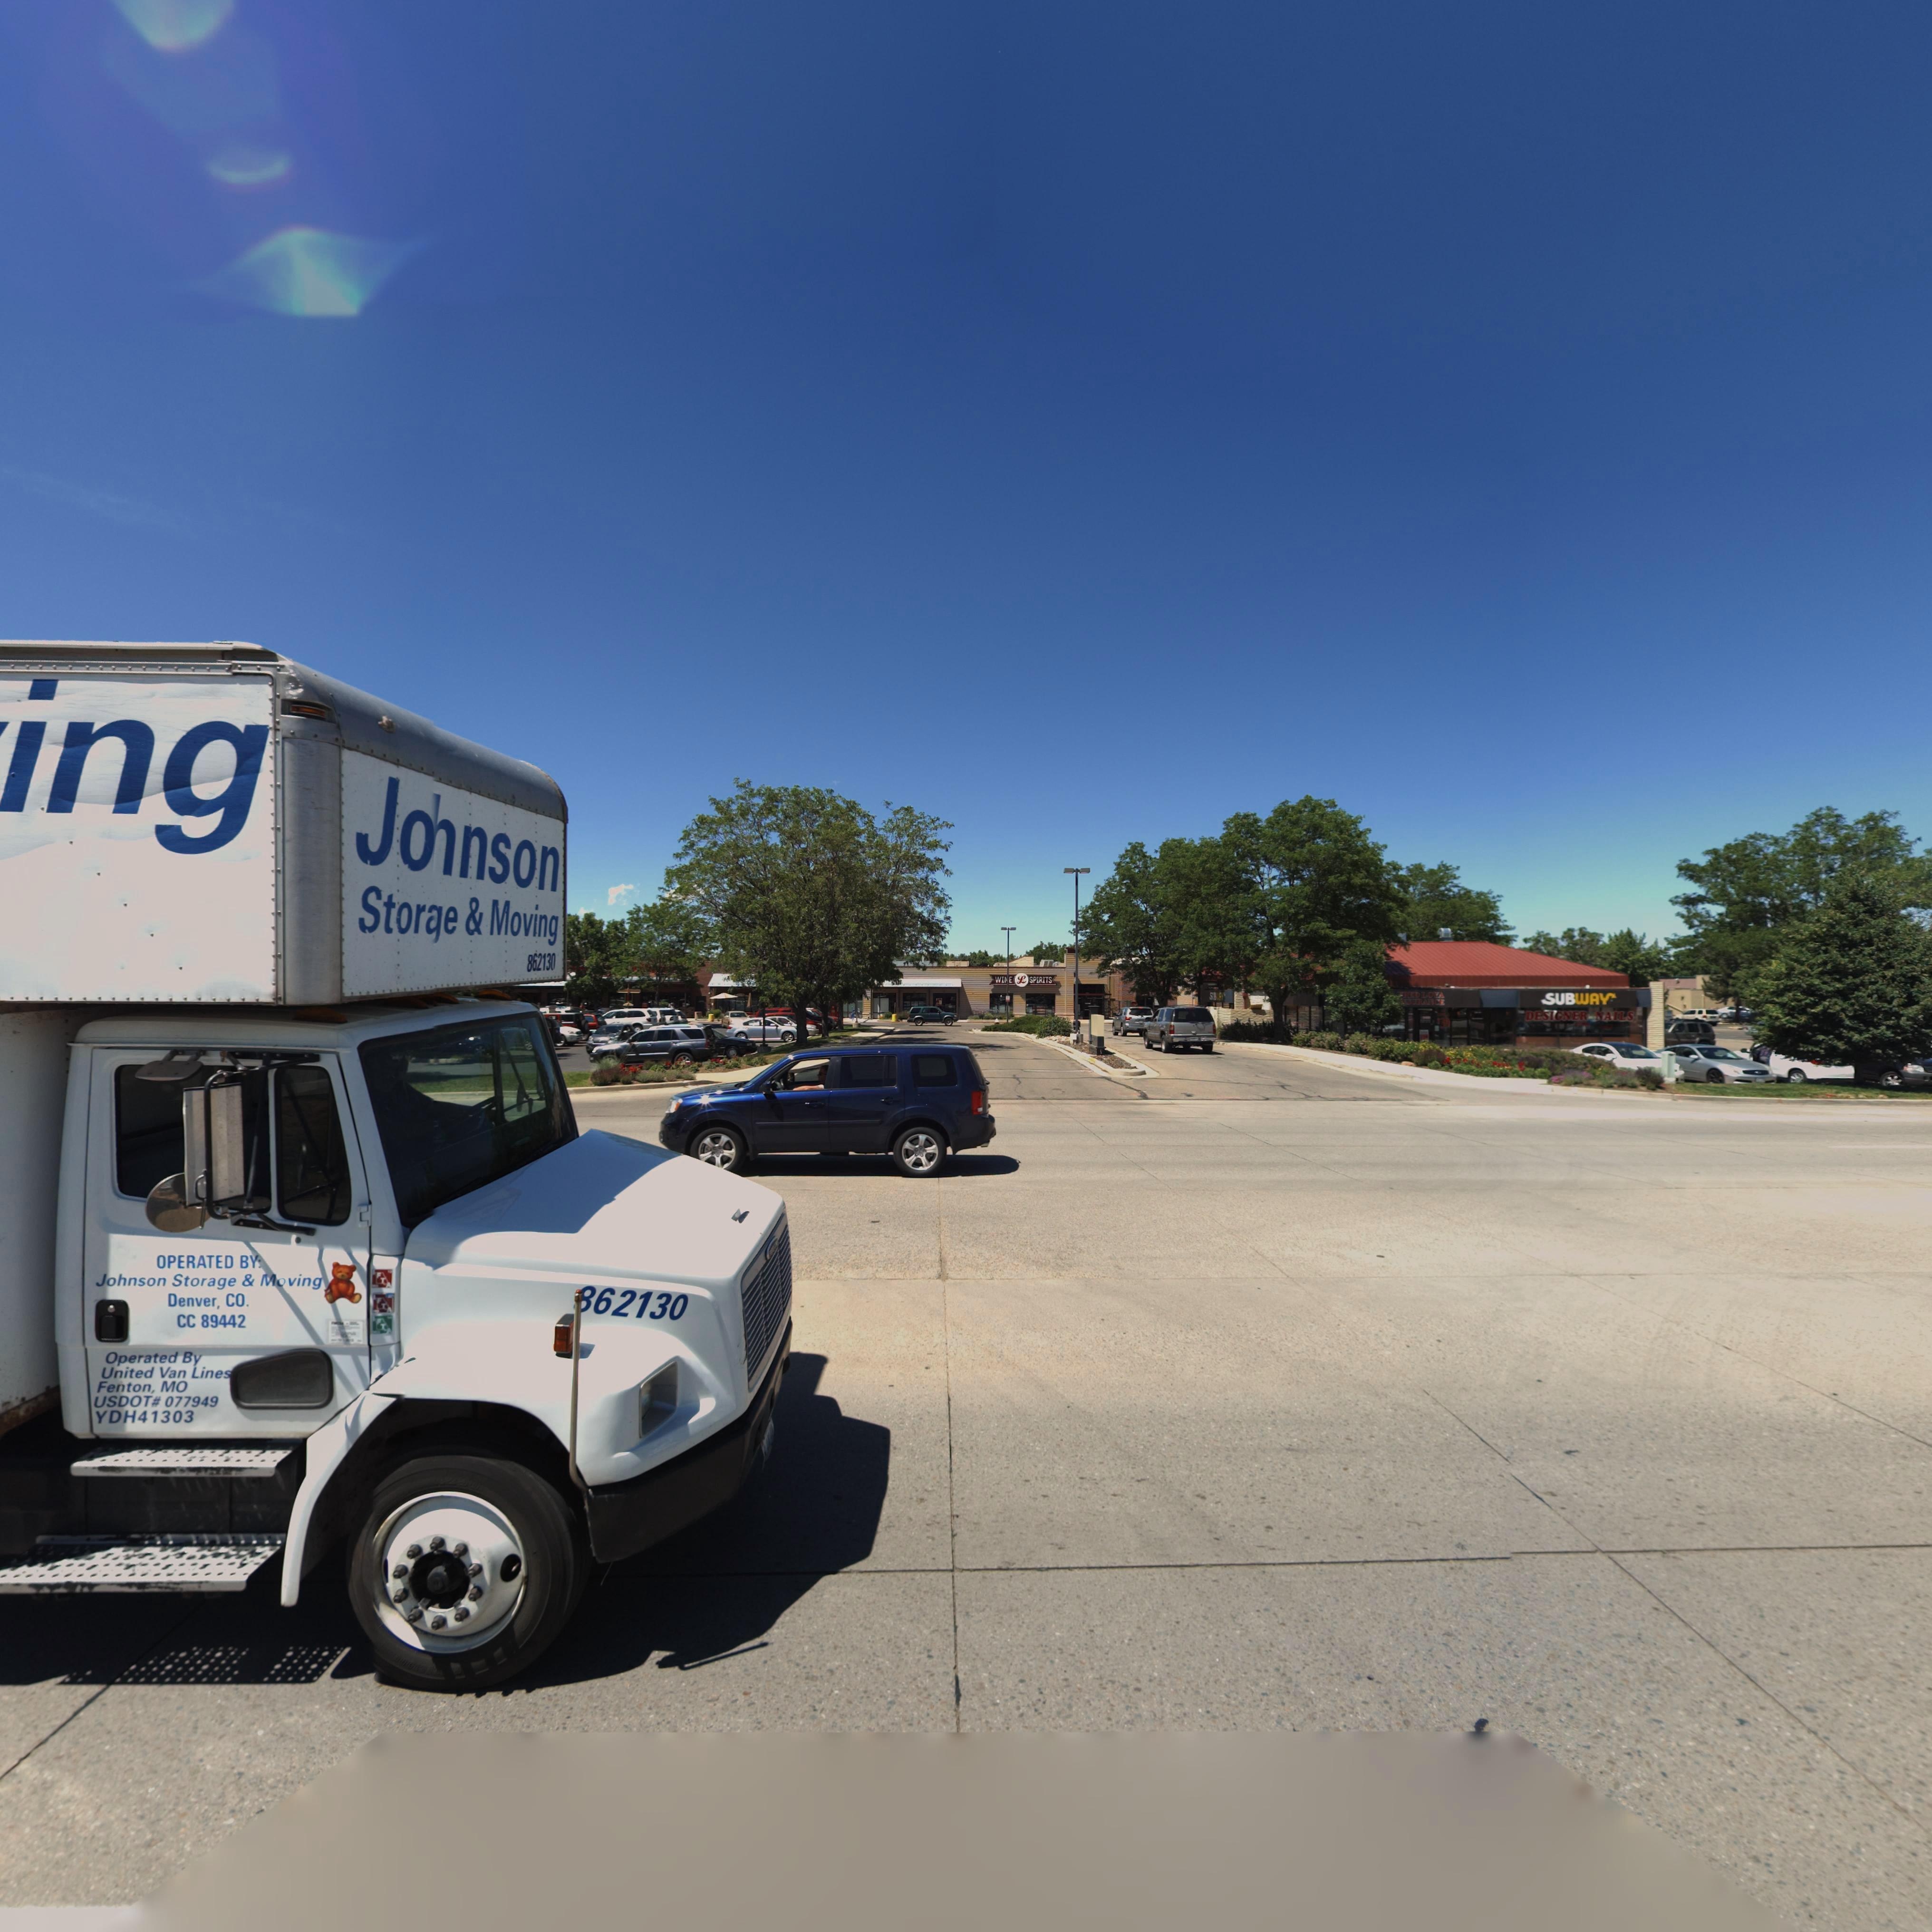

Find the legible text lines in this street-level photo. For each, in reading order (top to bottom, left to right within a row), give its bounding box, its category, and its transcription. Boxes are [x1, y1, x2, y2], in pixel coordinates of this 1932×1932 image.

[995, 976, 1013, 983] BusinessName: WI*E
[1029, 976, 1053, 984] BusinessName: SPIRITS
[1403, 991, 1445, 999] BusinessName: *ED LOYA
[1405, 998, 1446, 1005] BusinessName: **RANCE
[1540, 992, 1618, 1005] BusinessName: SUBWAY